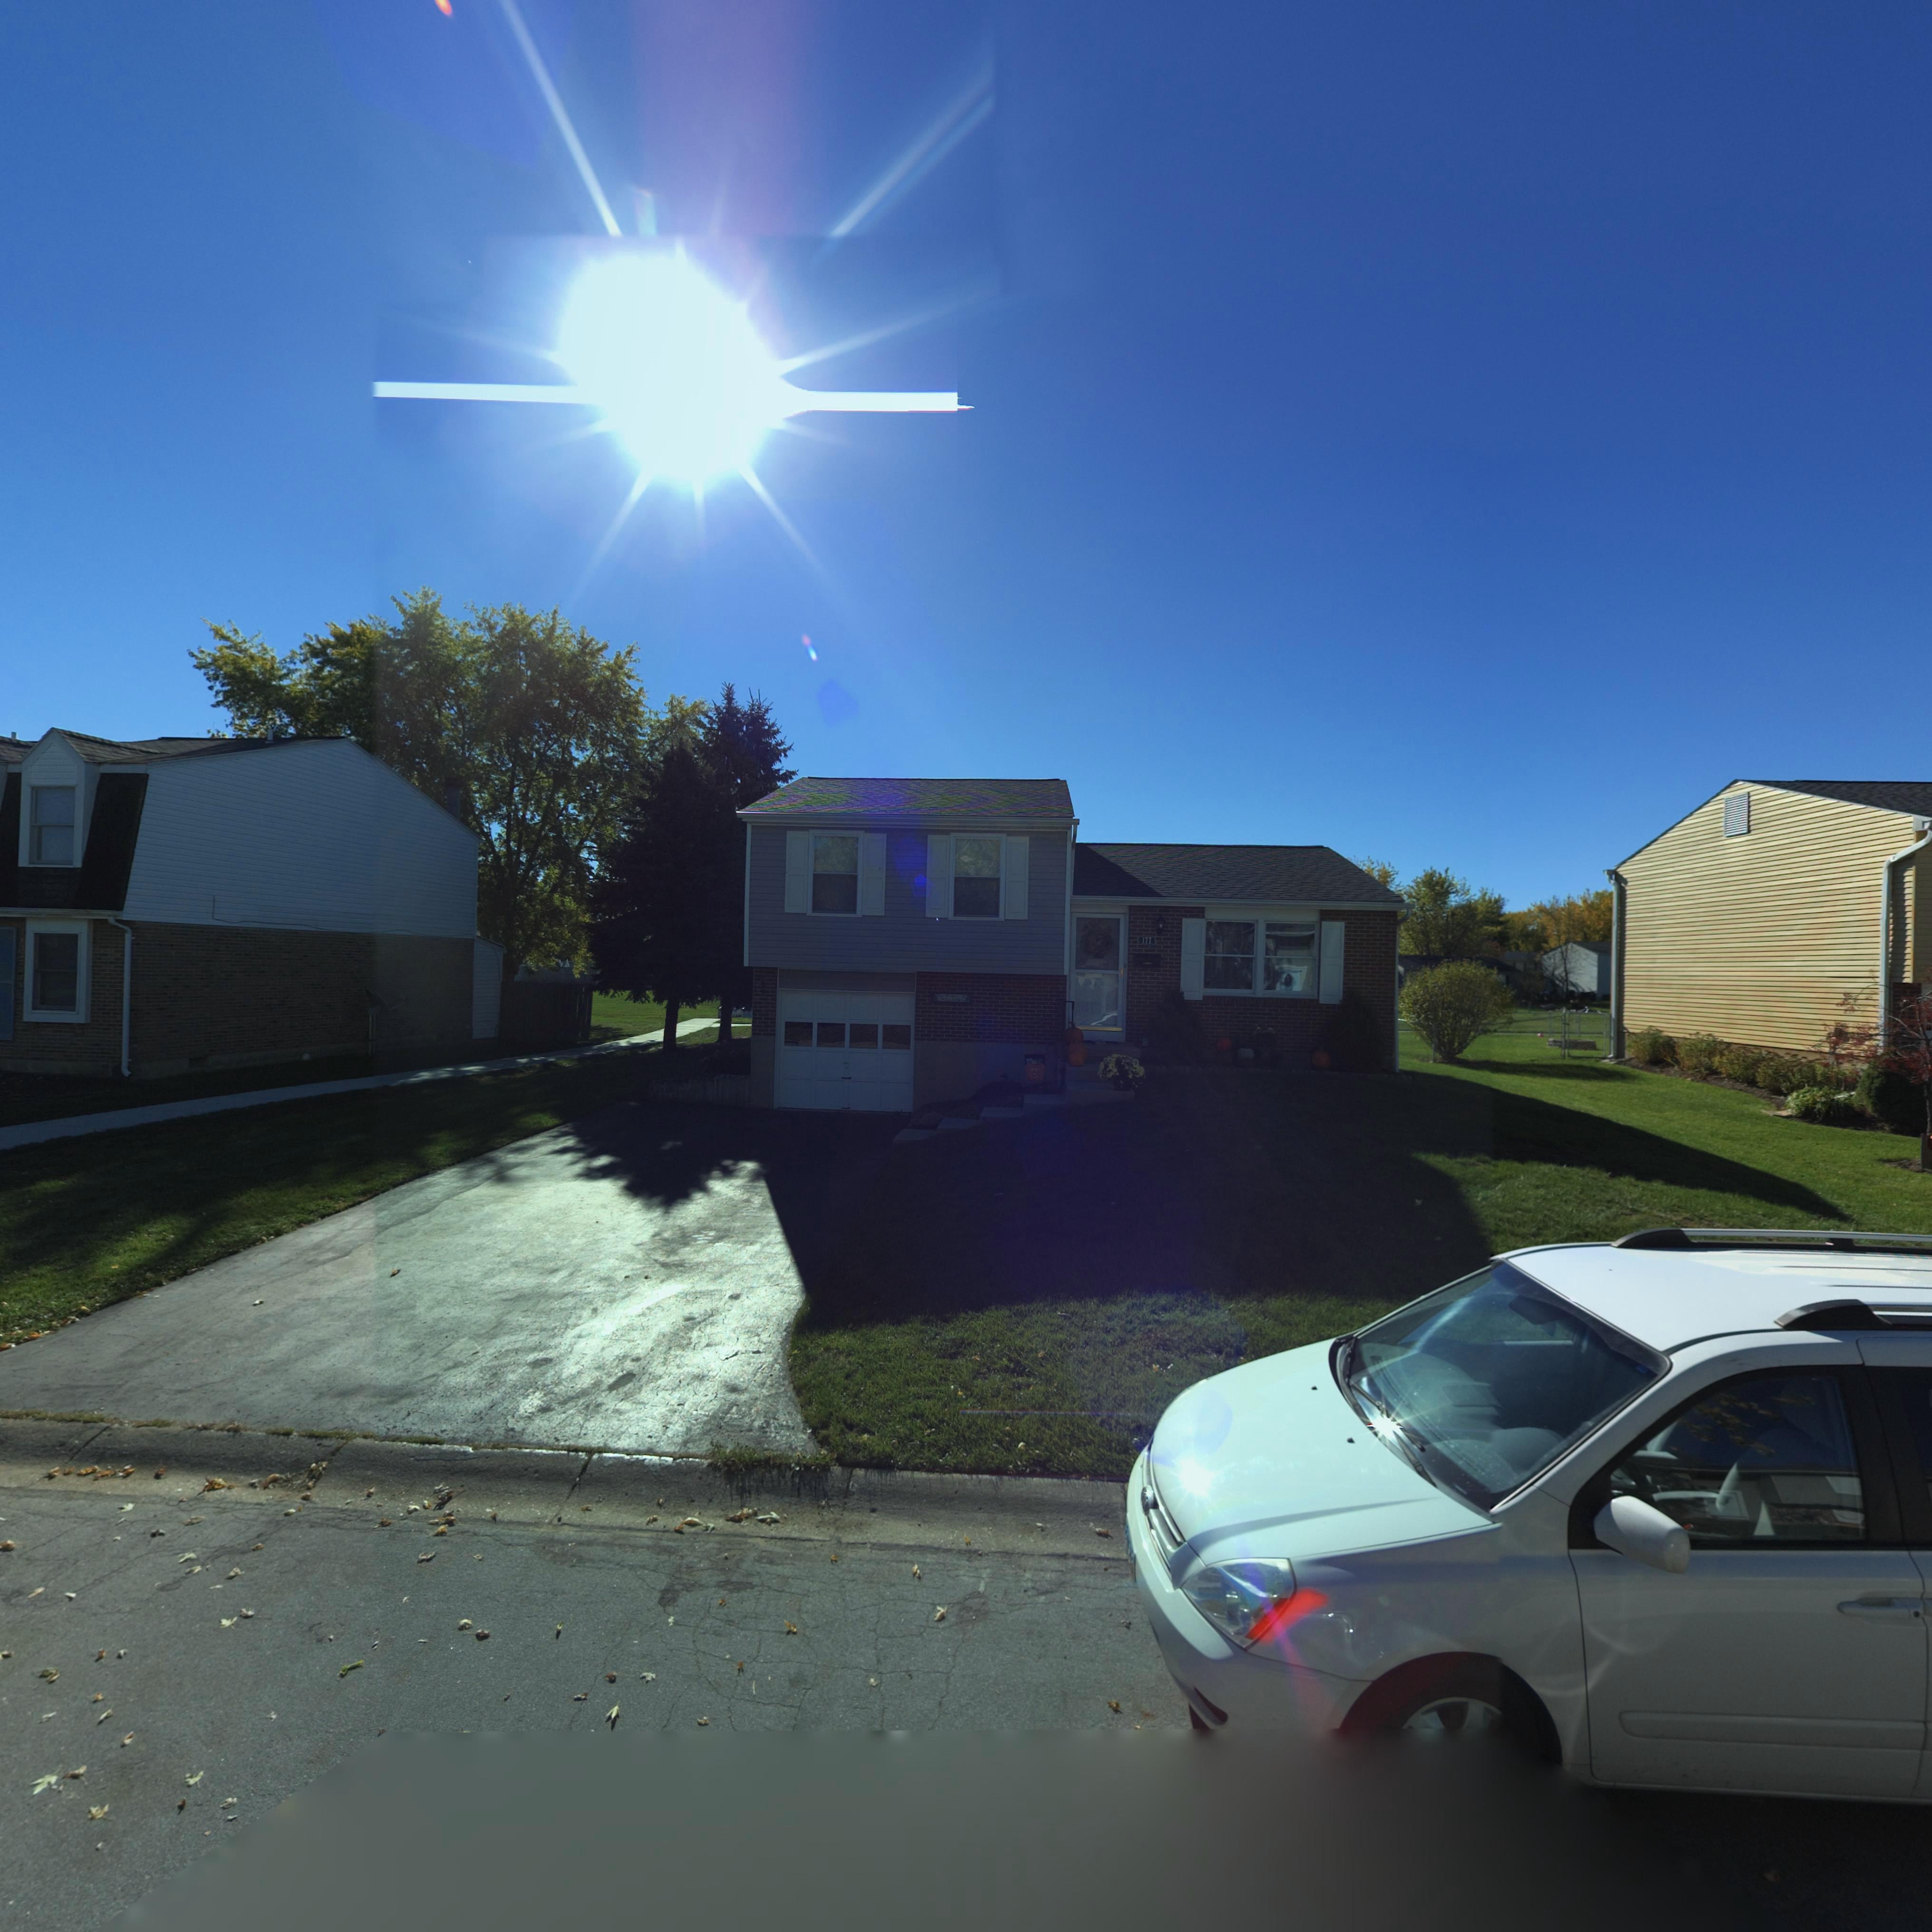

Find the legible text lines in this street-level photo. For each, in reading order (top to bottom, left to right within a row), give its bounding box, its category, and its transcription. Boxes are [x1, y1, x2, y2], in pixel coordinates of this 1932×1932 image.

[1141, 937, 1153, 945] StreetNumber: 177